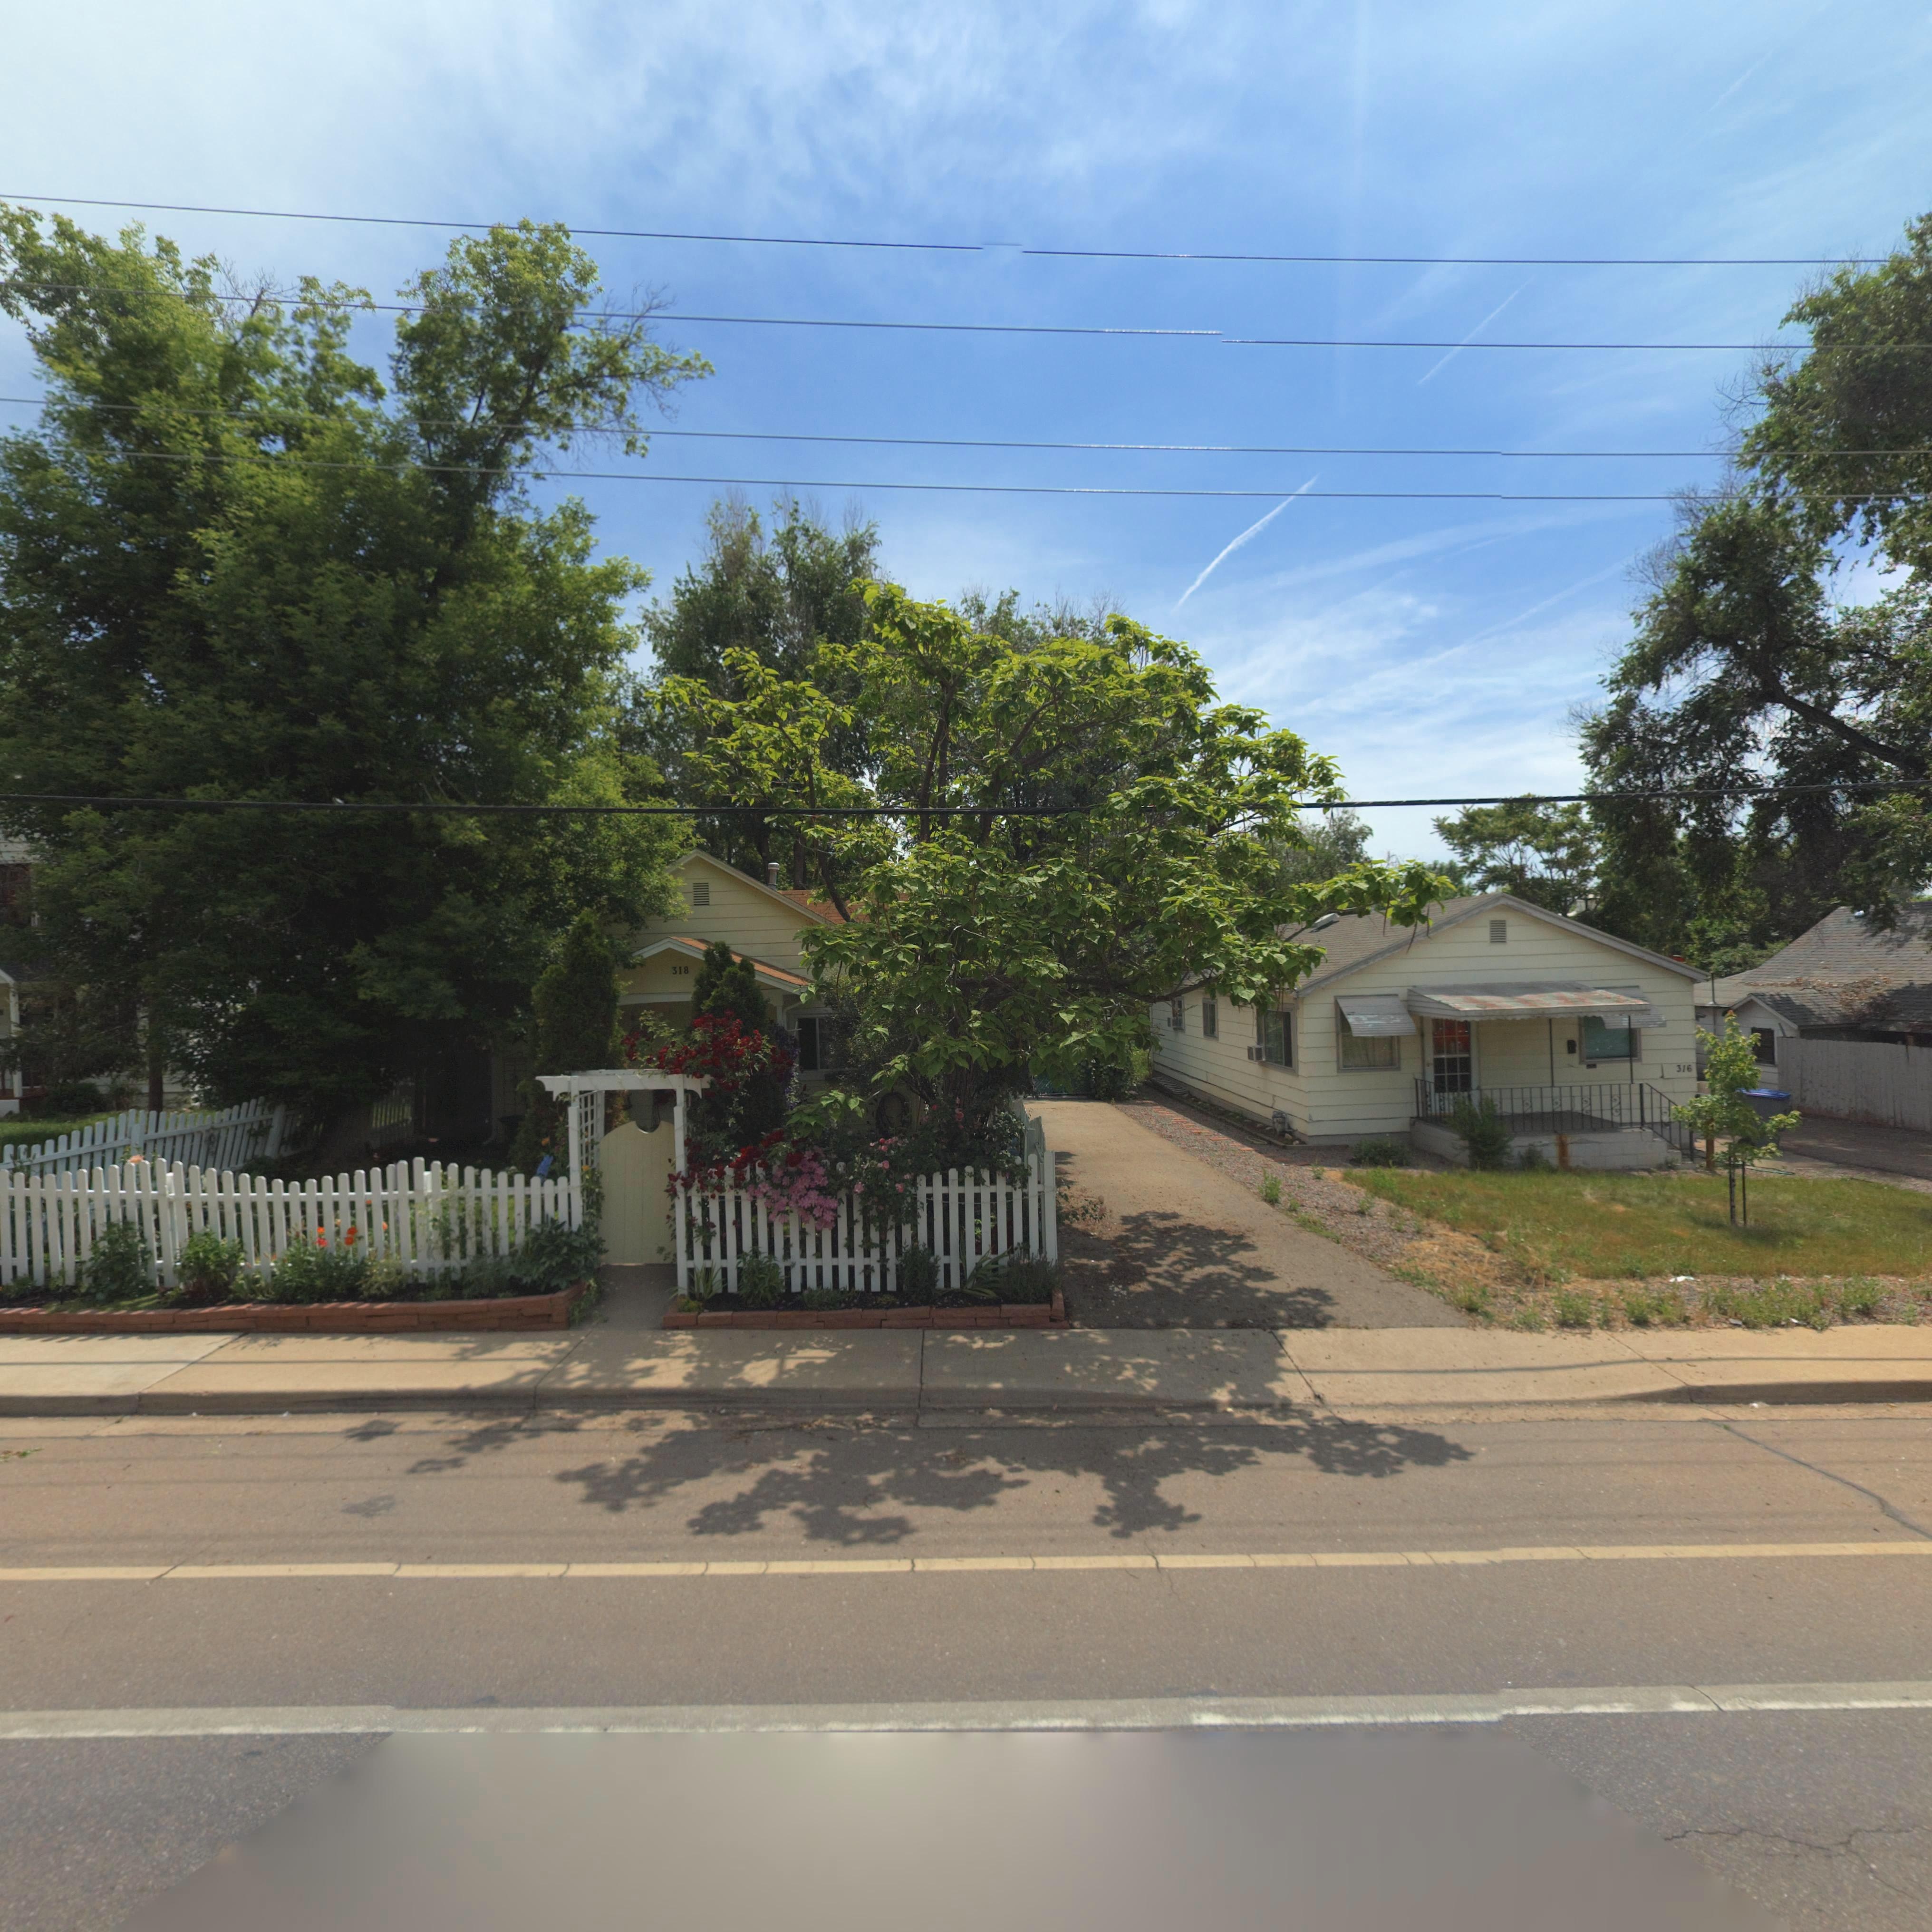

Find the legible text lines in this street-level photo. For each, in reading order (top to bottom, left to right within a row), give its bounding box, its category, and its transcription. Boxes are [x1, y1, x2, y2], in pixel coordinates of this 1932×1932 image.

[671, 965, 690, 975] StreetNumber: 318
[1676, 1063, 1692, 1072] StreetNumber: 316